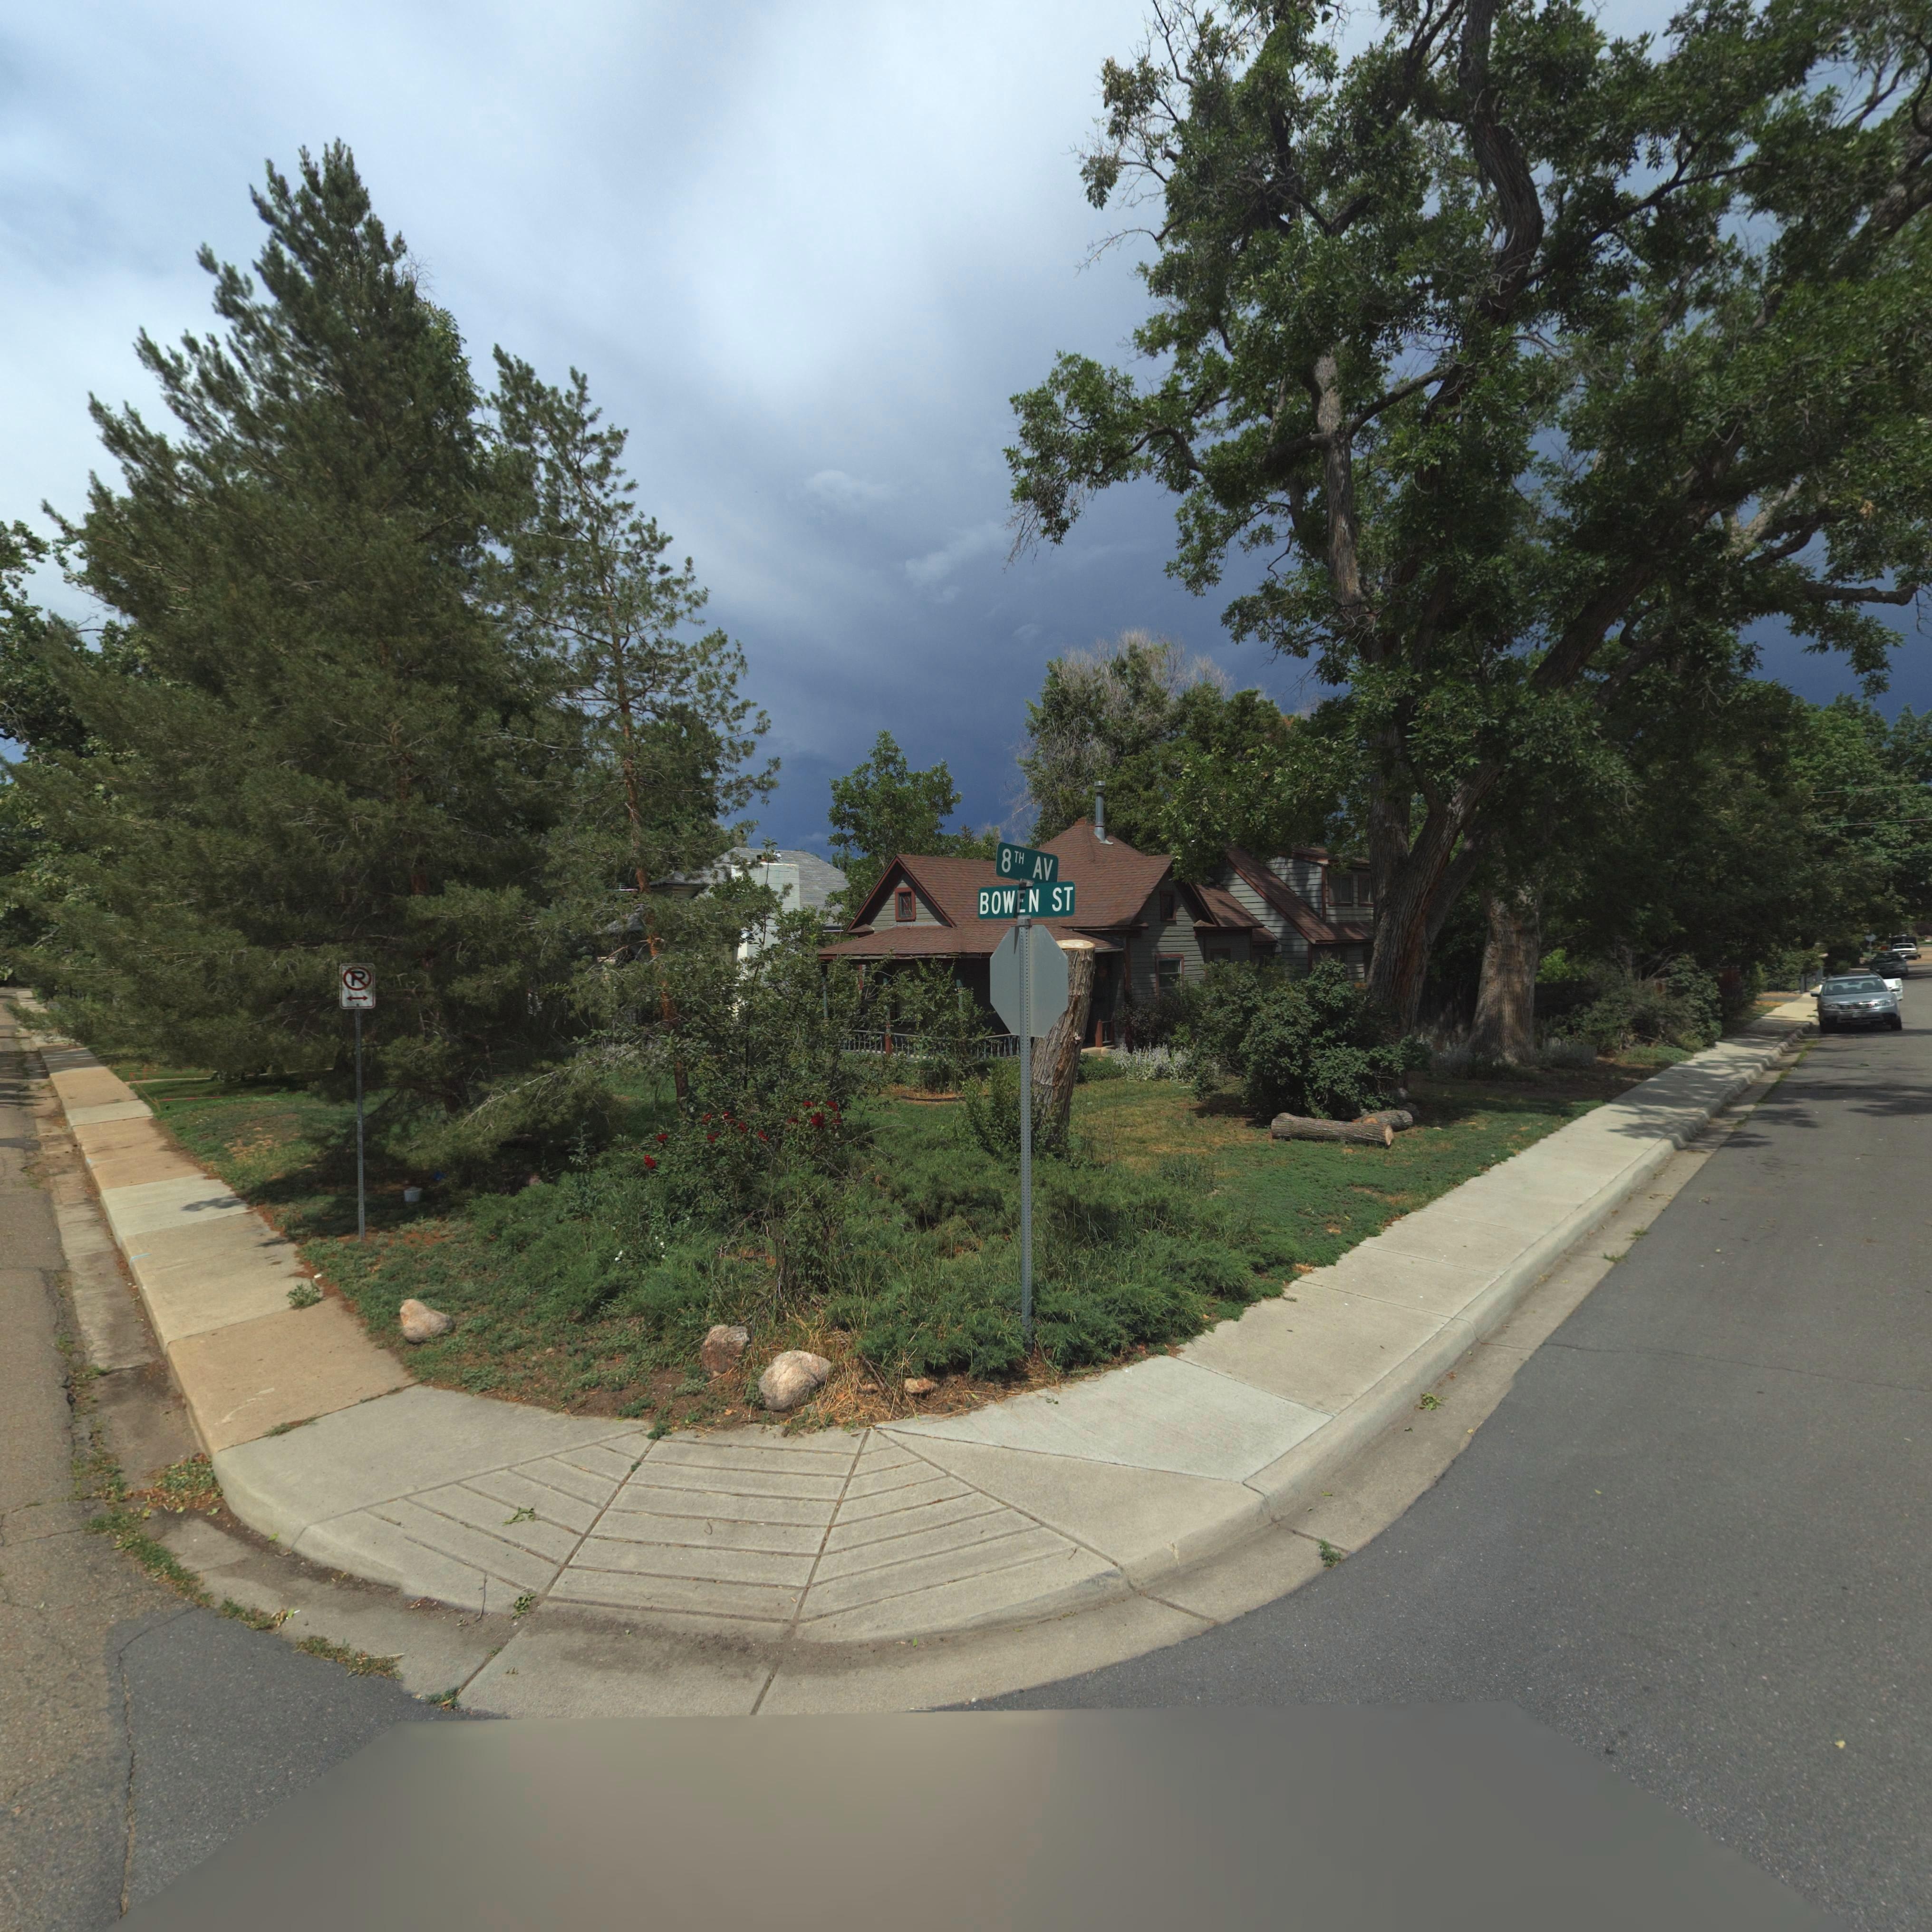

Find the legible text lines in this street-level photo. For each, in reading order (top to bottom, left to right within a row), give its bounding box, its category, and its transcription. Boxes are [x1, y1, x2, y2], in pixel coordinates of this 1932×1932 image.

[1000, 847, 1053, 882] StreetName: 8TH AV
[979, 885, 1074, 915] StreetName: BOWEN ST